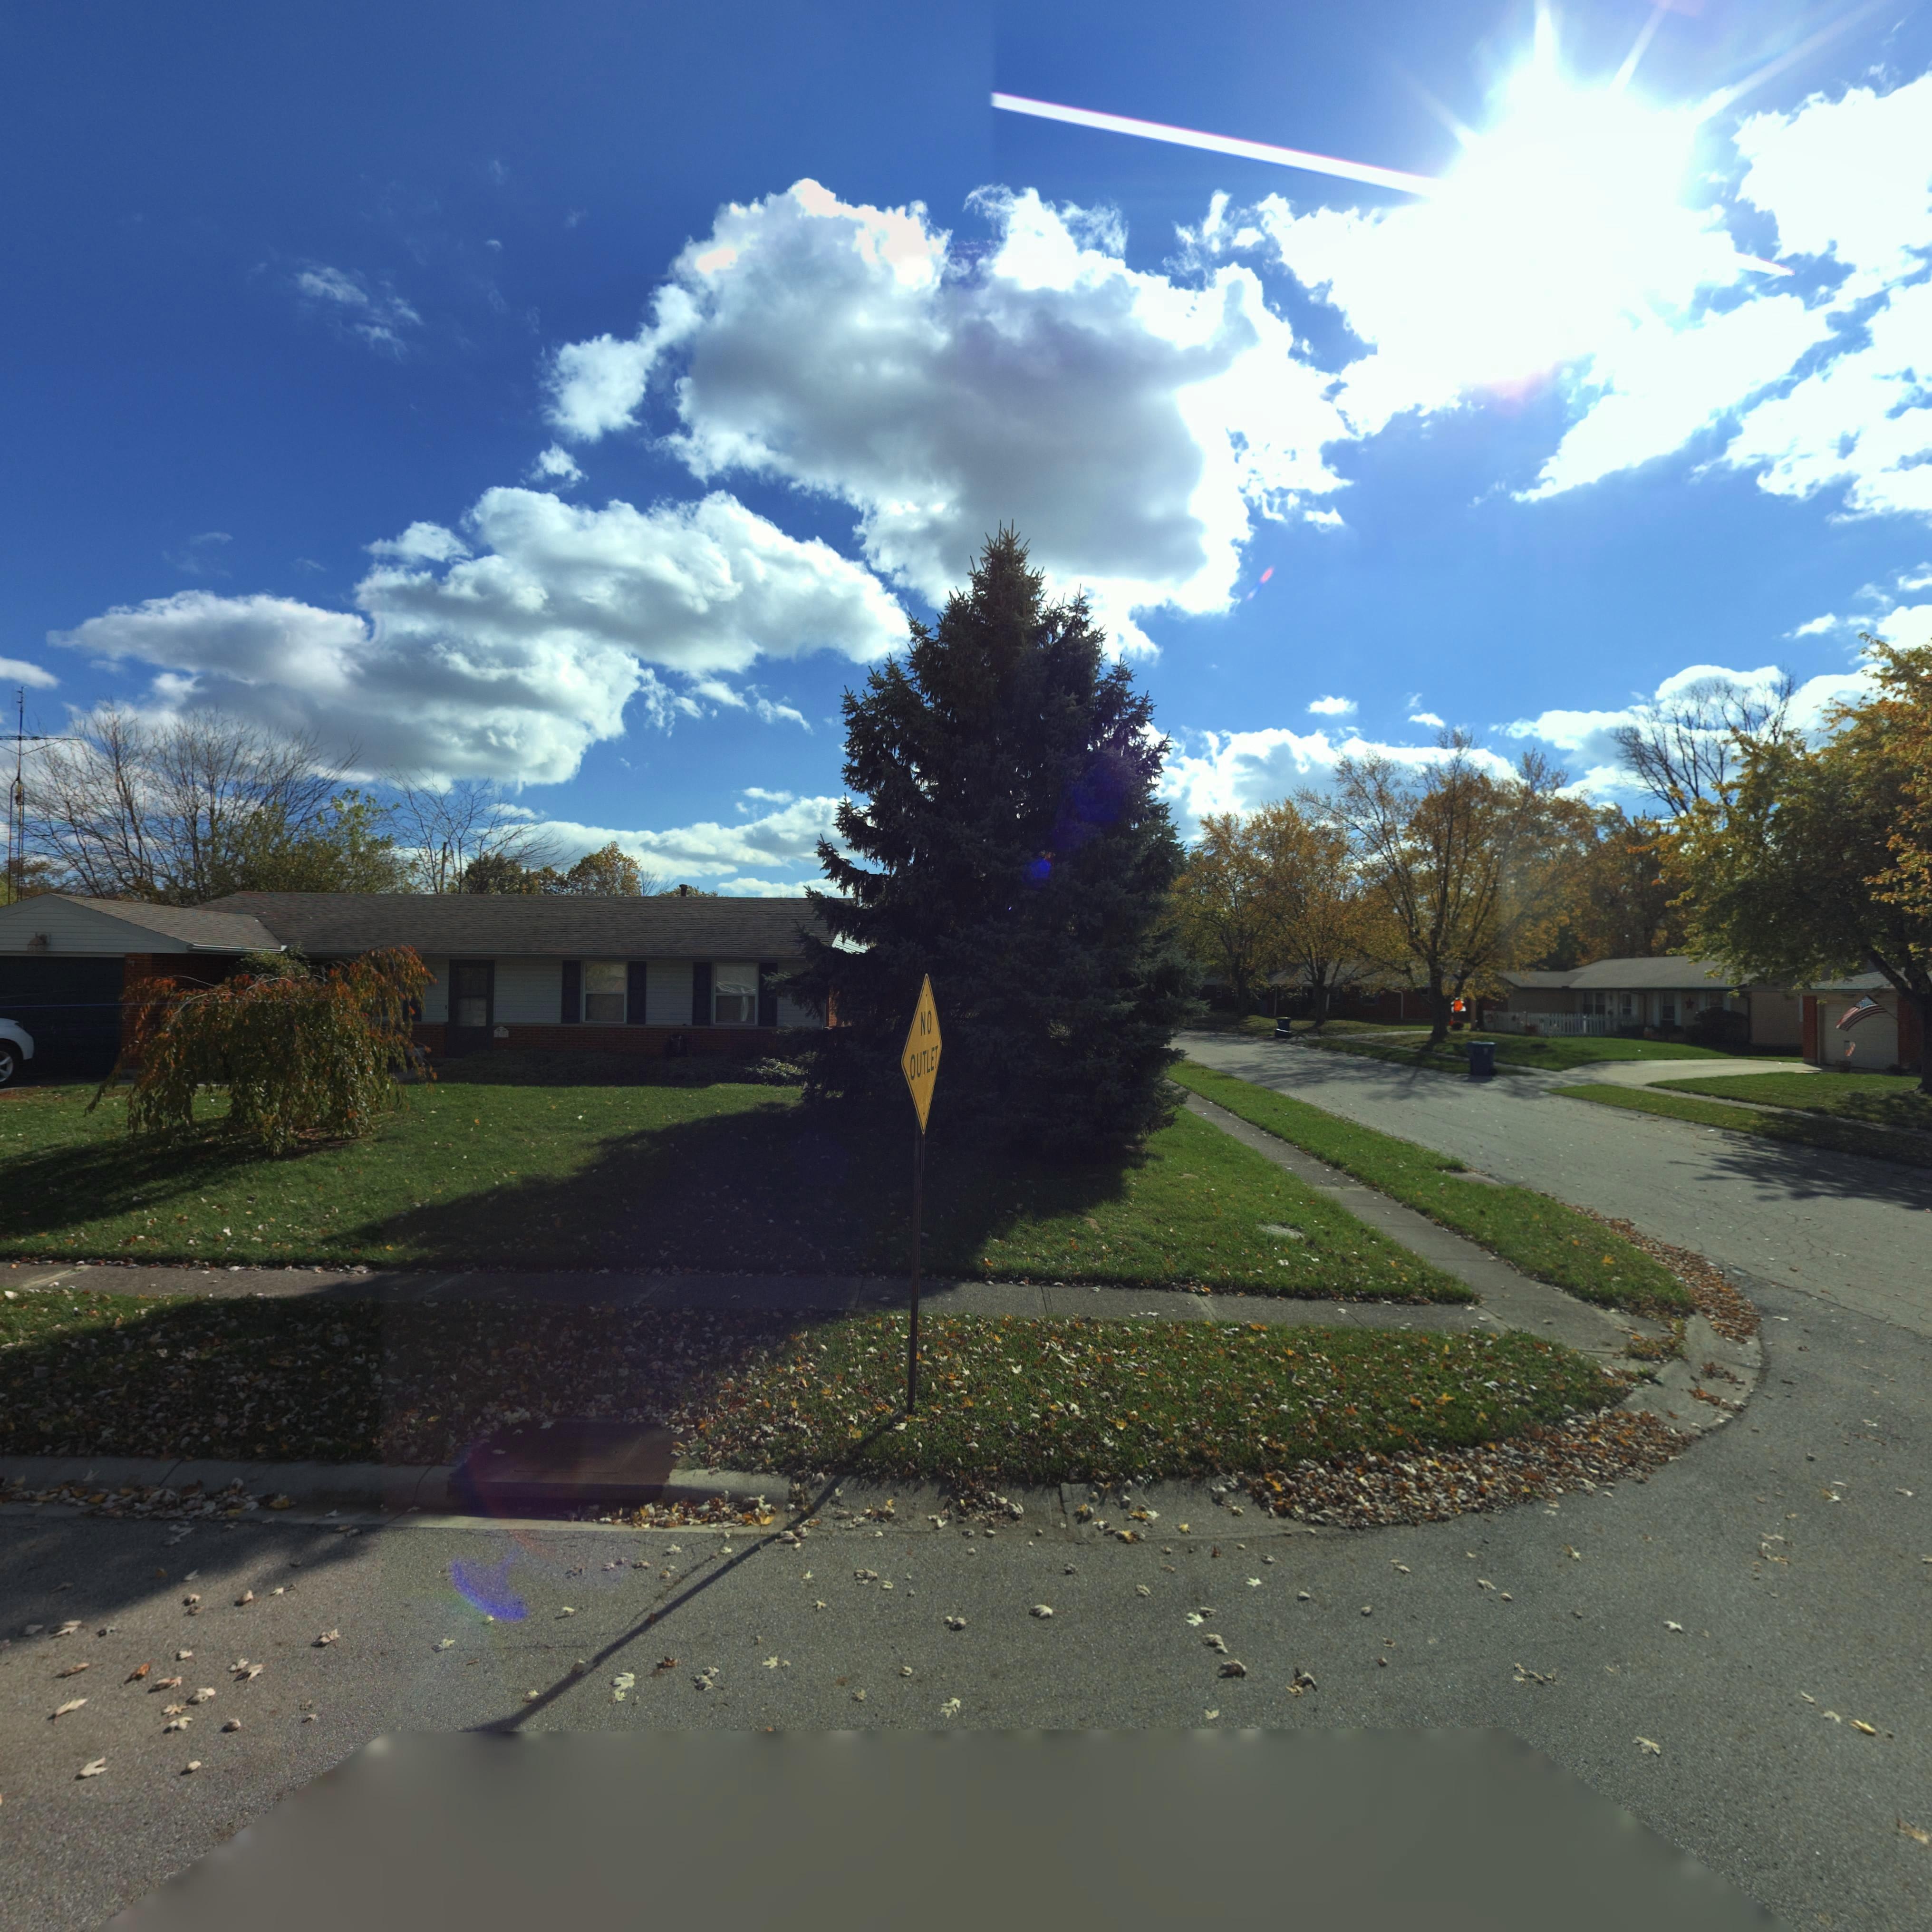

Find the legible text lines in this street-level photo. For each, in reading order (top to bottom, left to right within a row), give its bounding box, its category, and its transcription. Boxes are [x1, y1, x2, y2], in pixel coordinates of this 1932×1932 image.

[496, 1031, 500, 1037] StreetNumber: 7